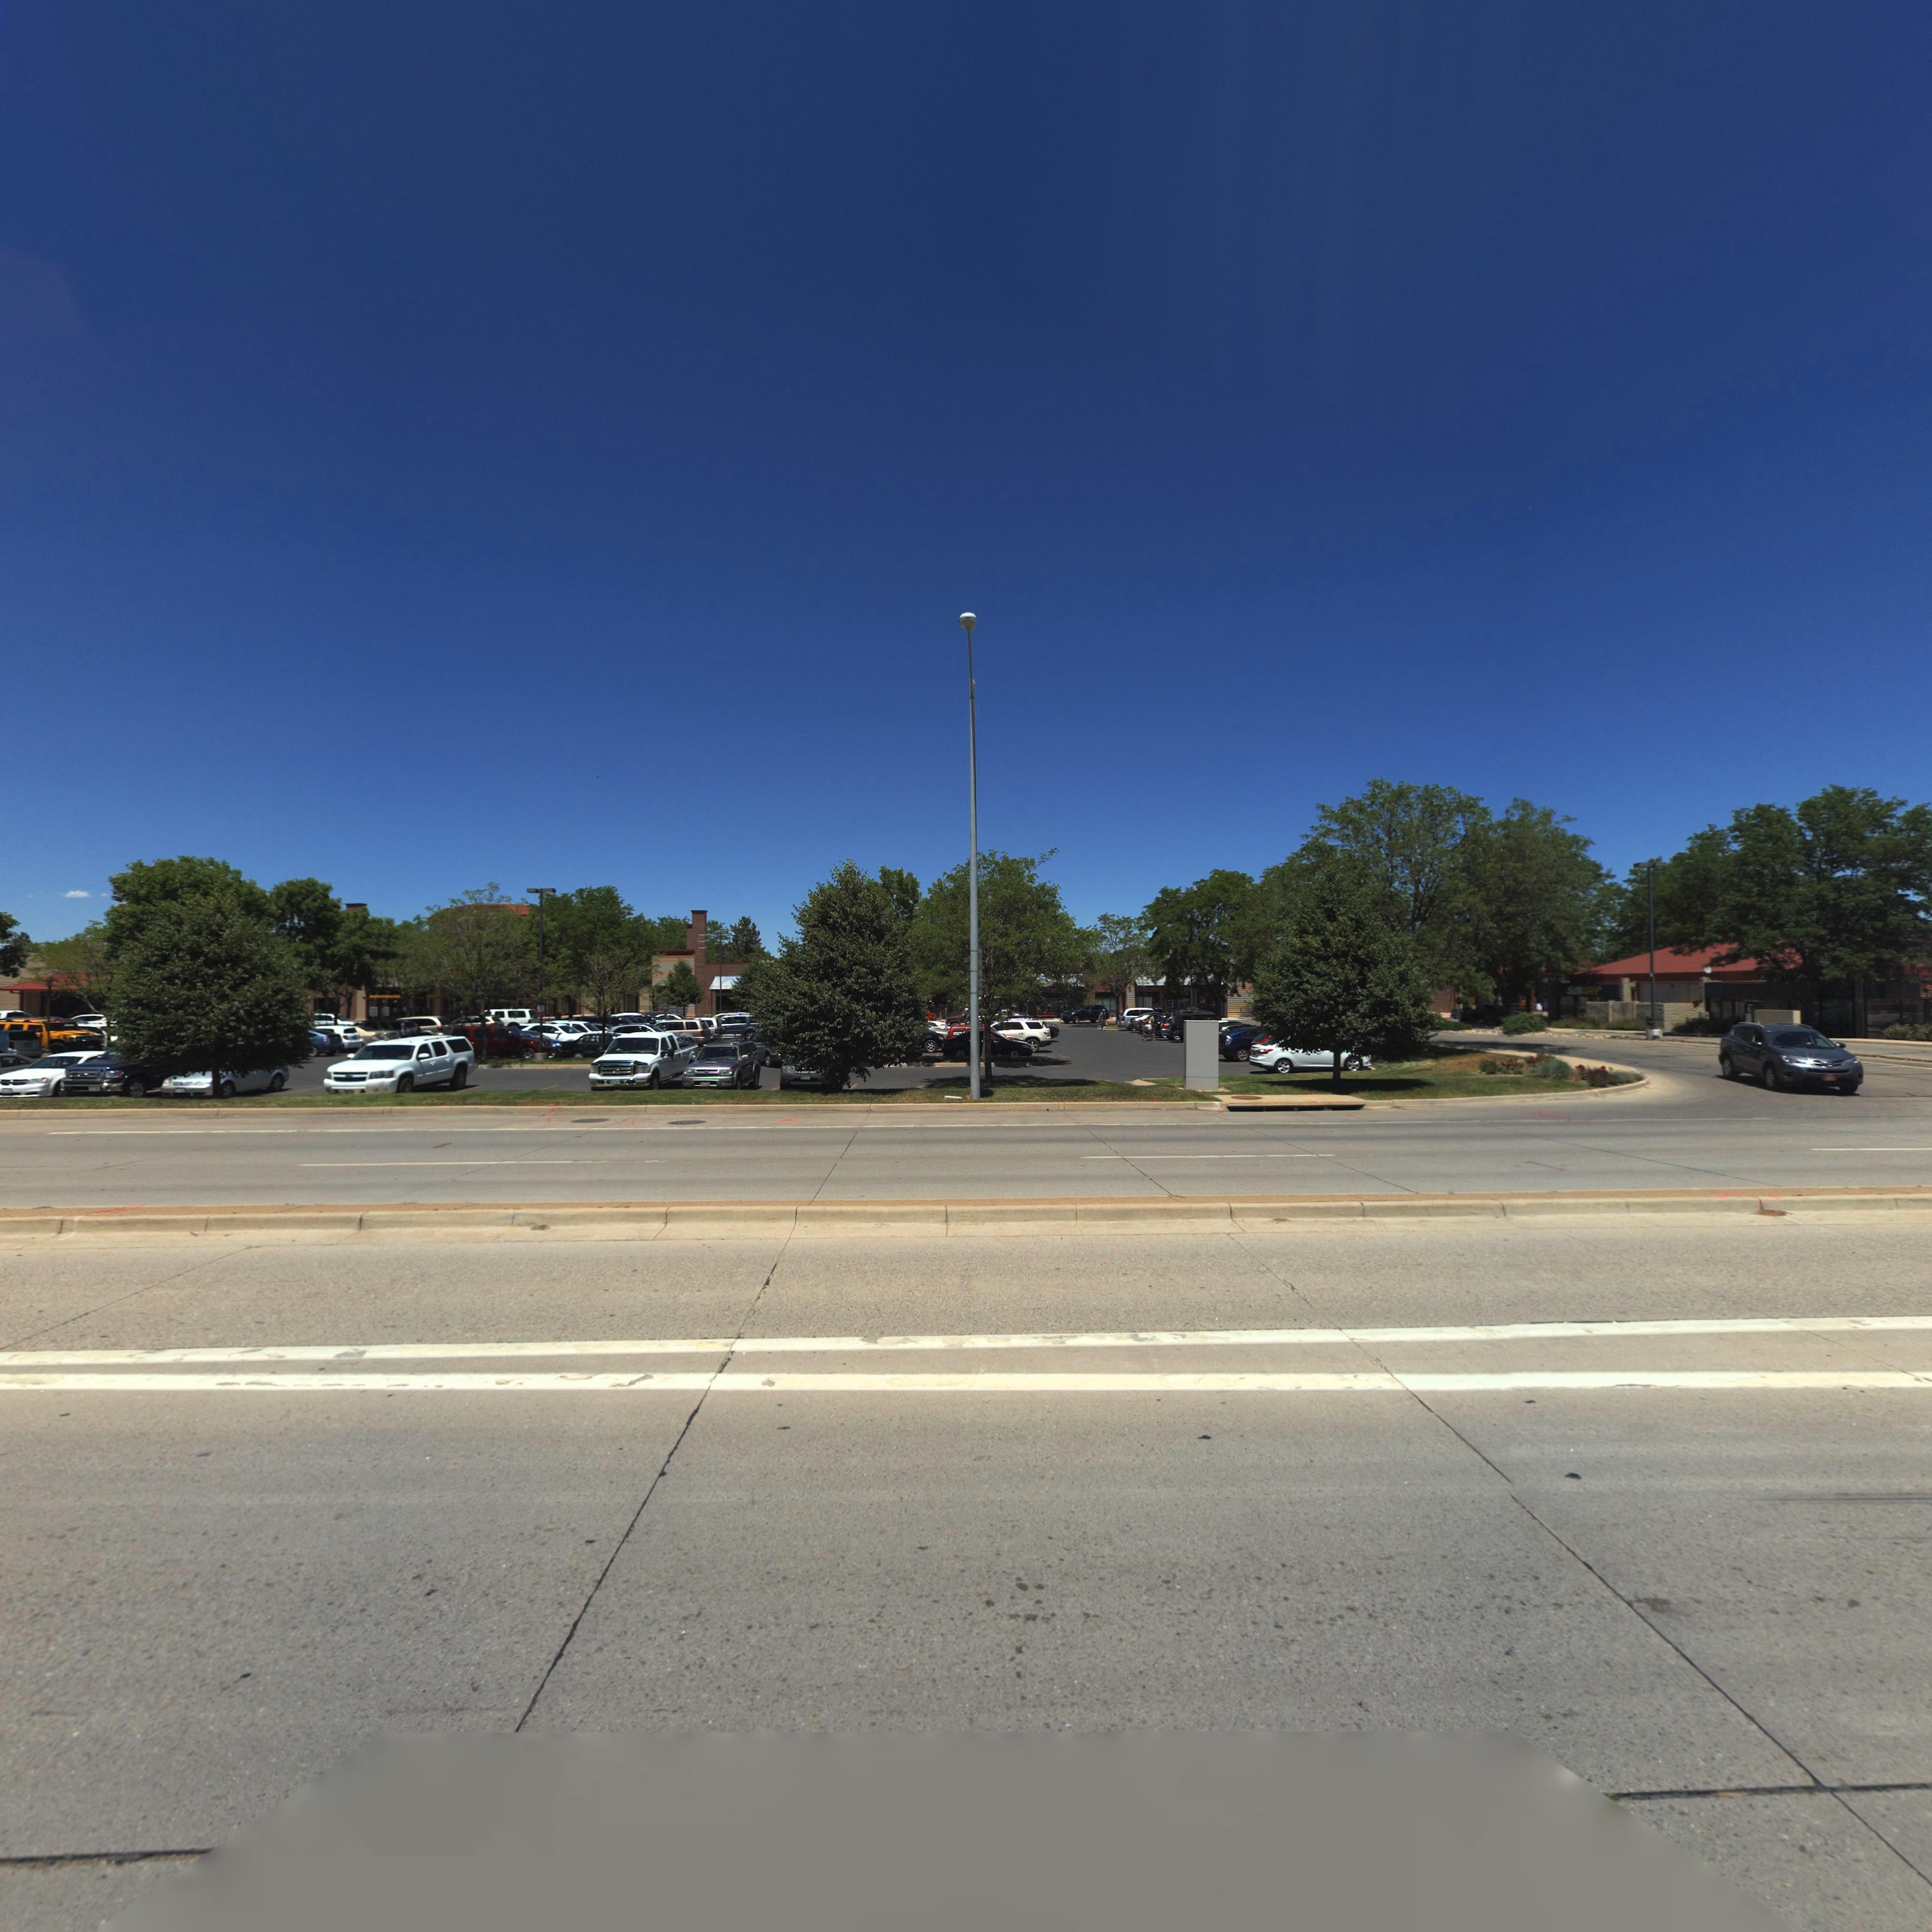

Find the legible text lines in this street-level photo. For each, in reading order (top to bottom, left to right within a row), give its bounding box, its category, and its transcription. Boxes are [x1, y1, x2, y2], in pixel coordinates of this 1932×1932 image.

[1565, 985, 1603, 995] BusinessName: SUBWAY